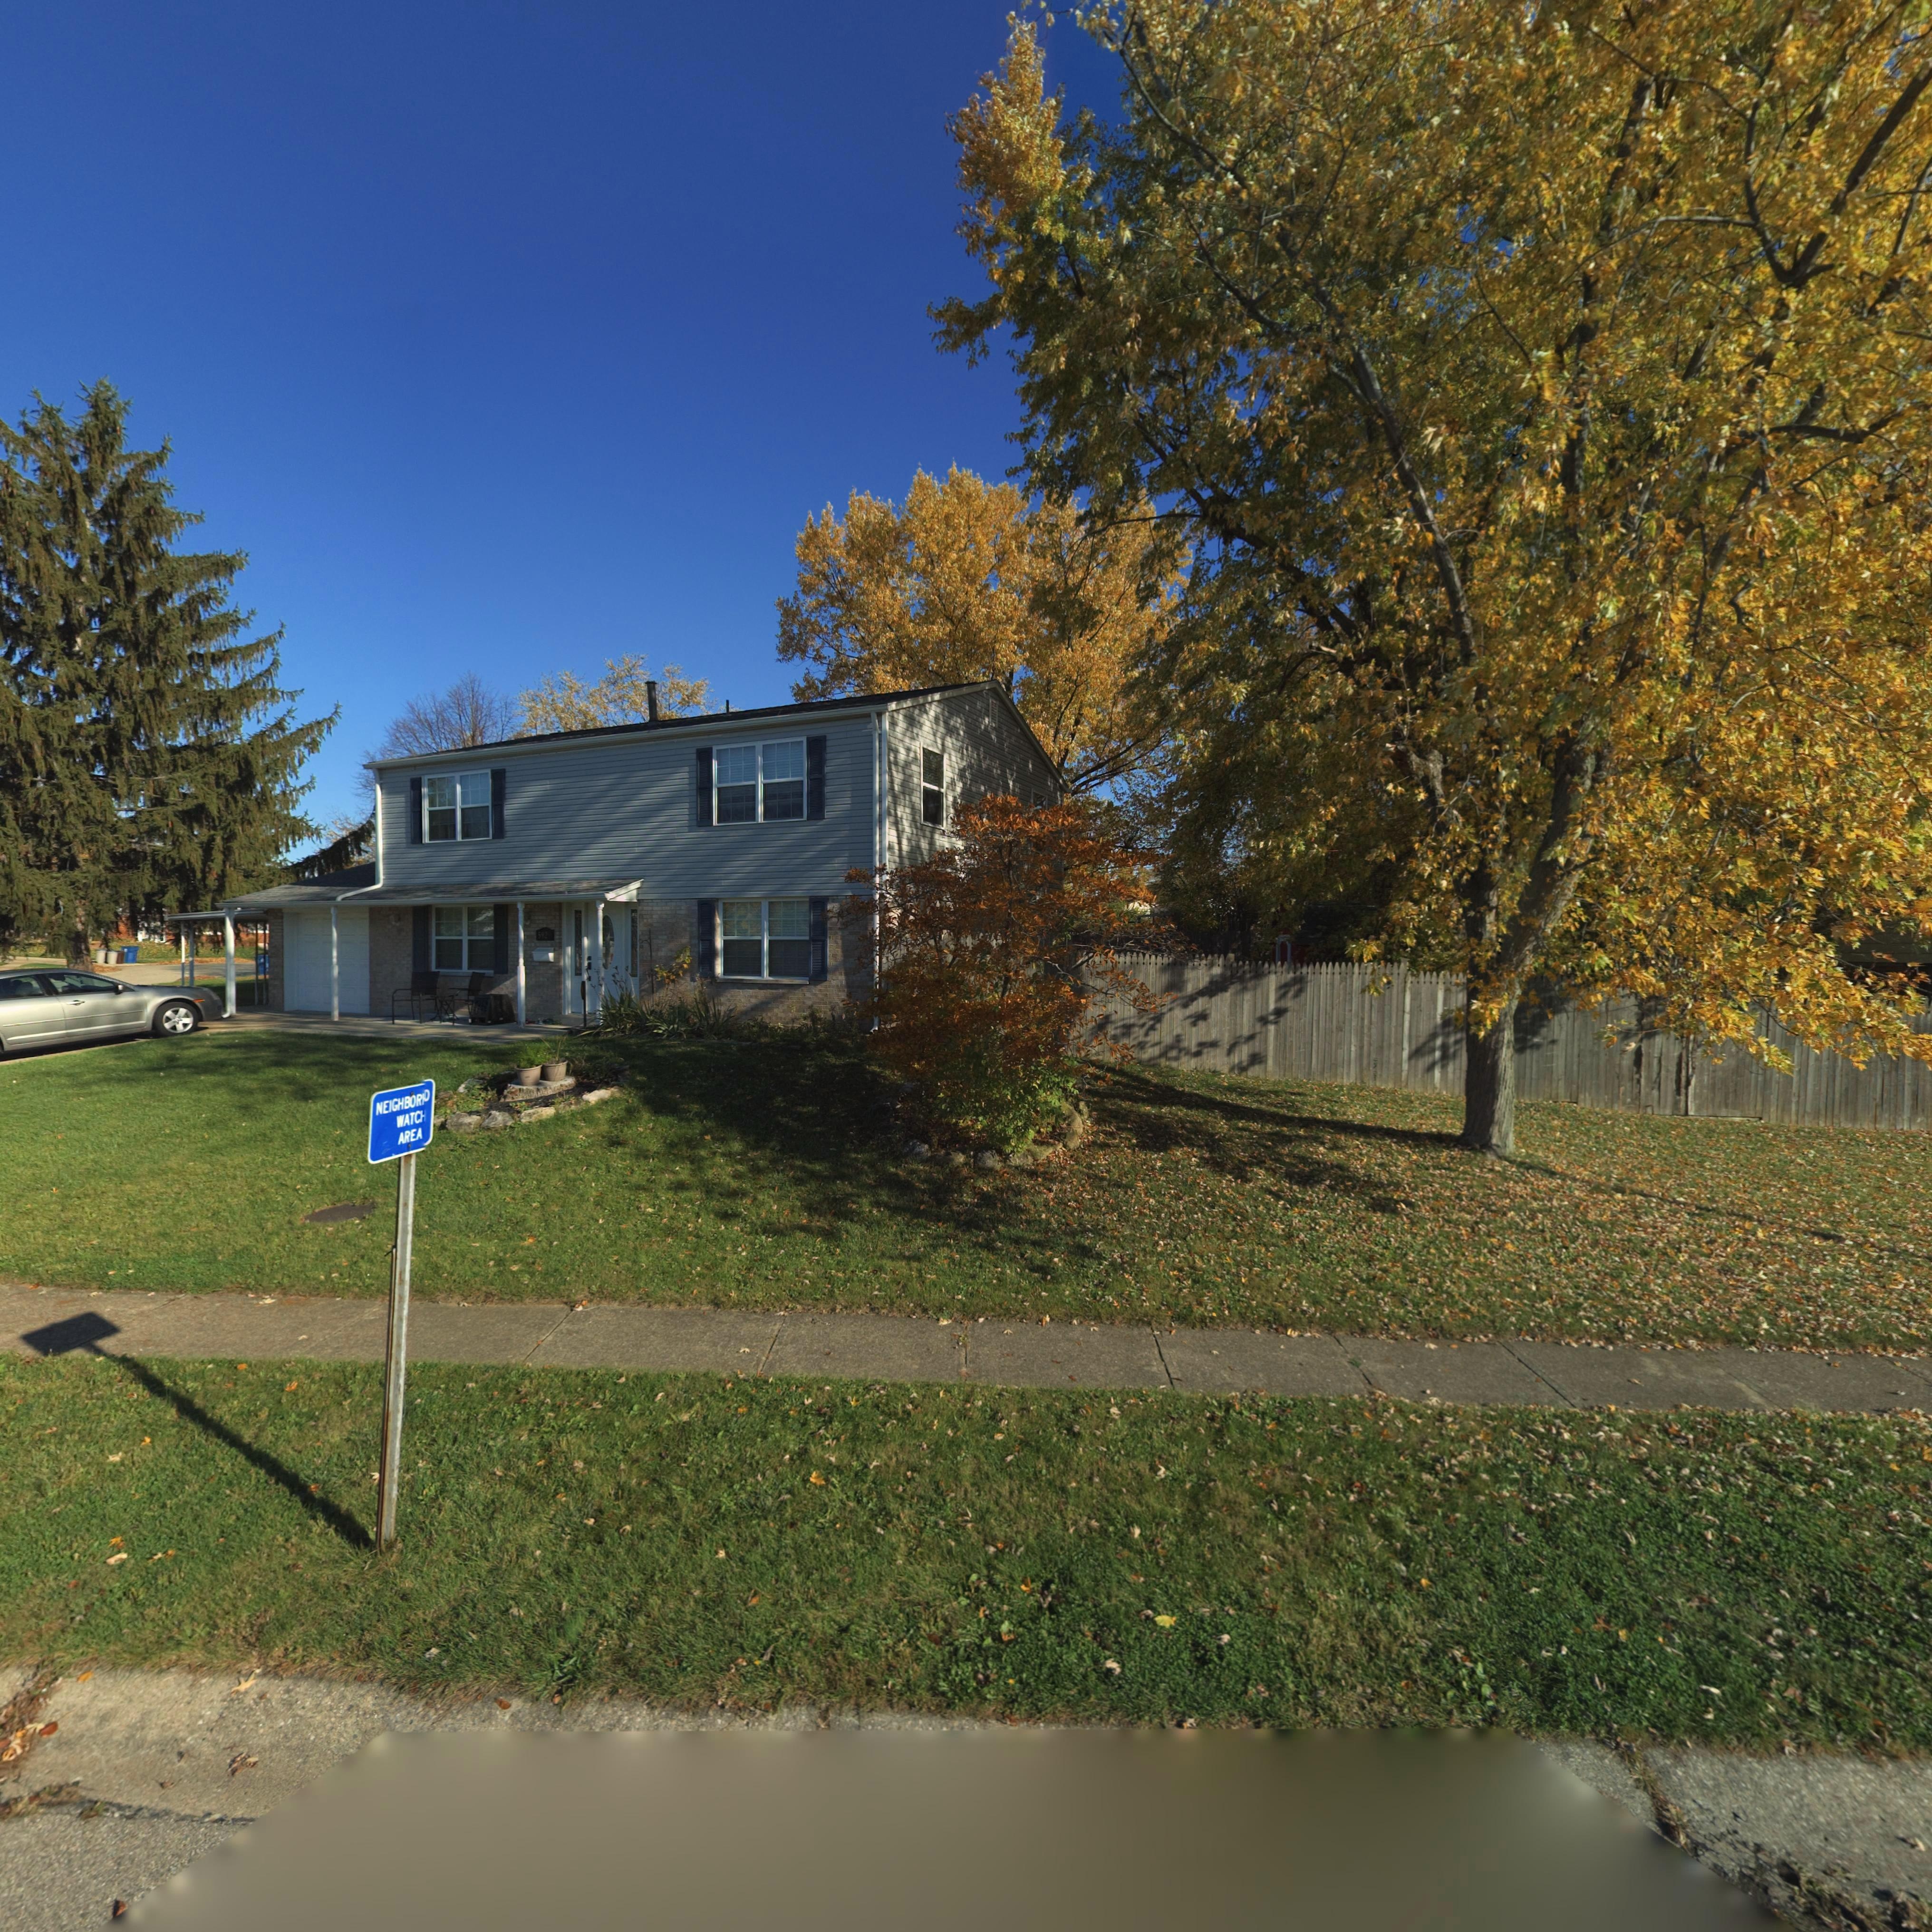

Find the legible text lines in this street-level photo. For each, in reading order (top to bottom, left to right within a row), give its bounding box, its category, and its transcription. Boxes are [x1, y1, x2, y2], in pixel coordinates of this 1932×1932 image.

[537, 930, 551, 940] StreetNumber: 592*